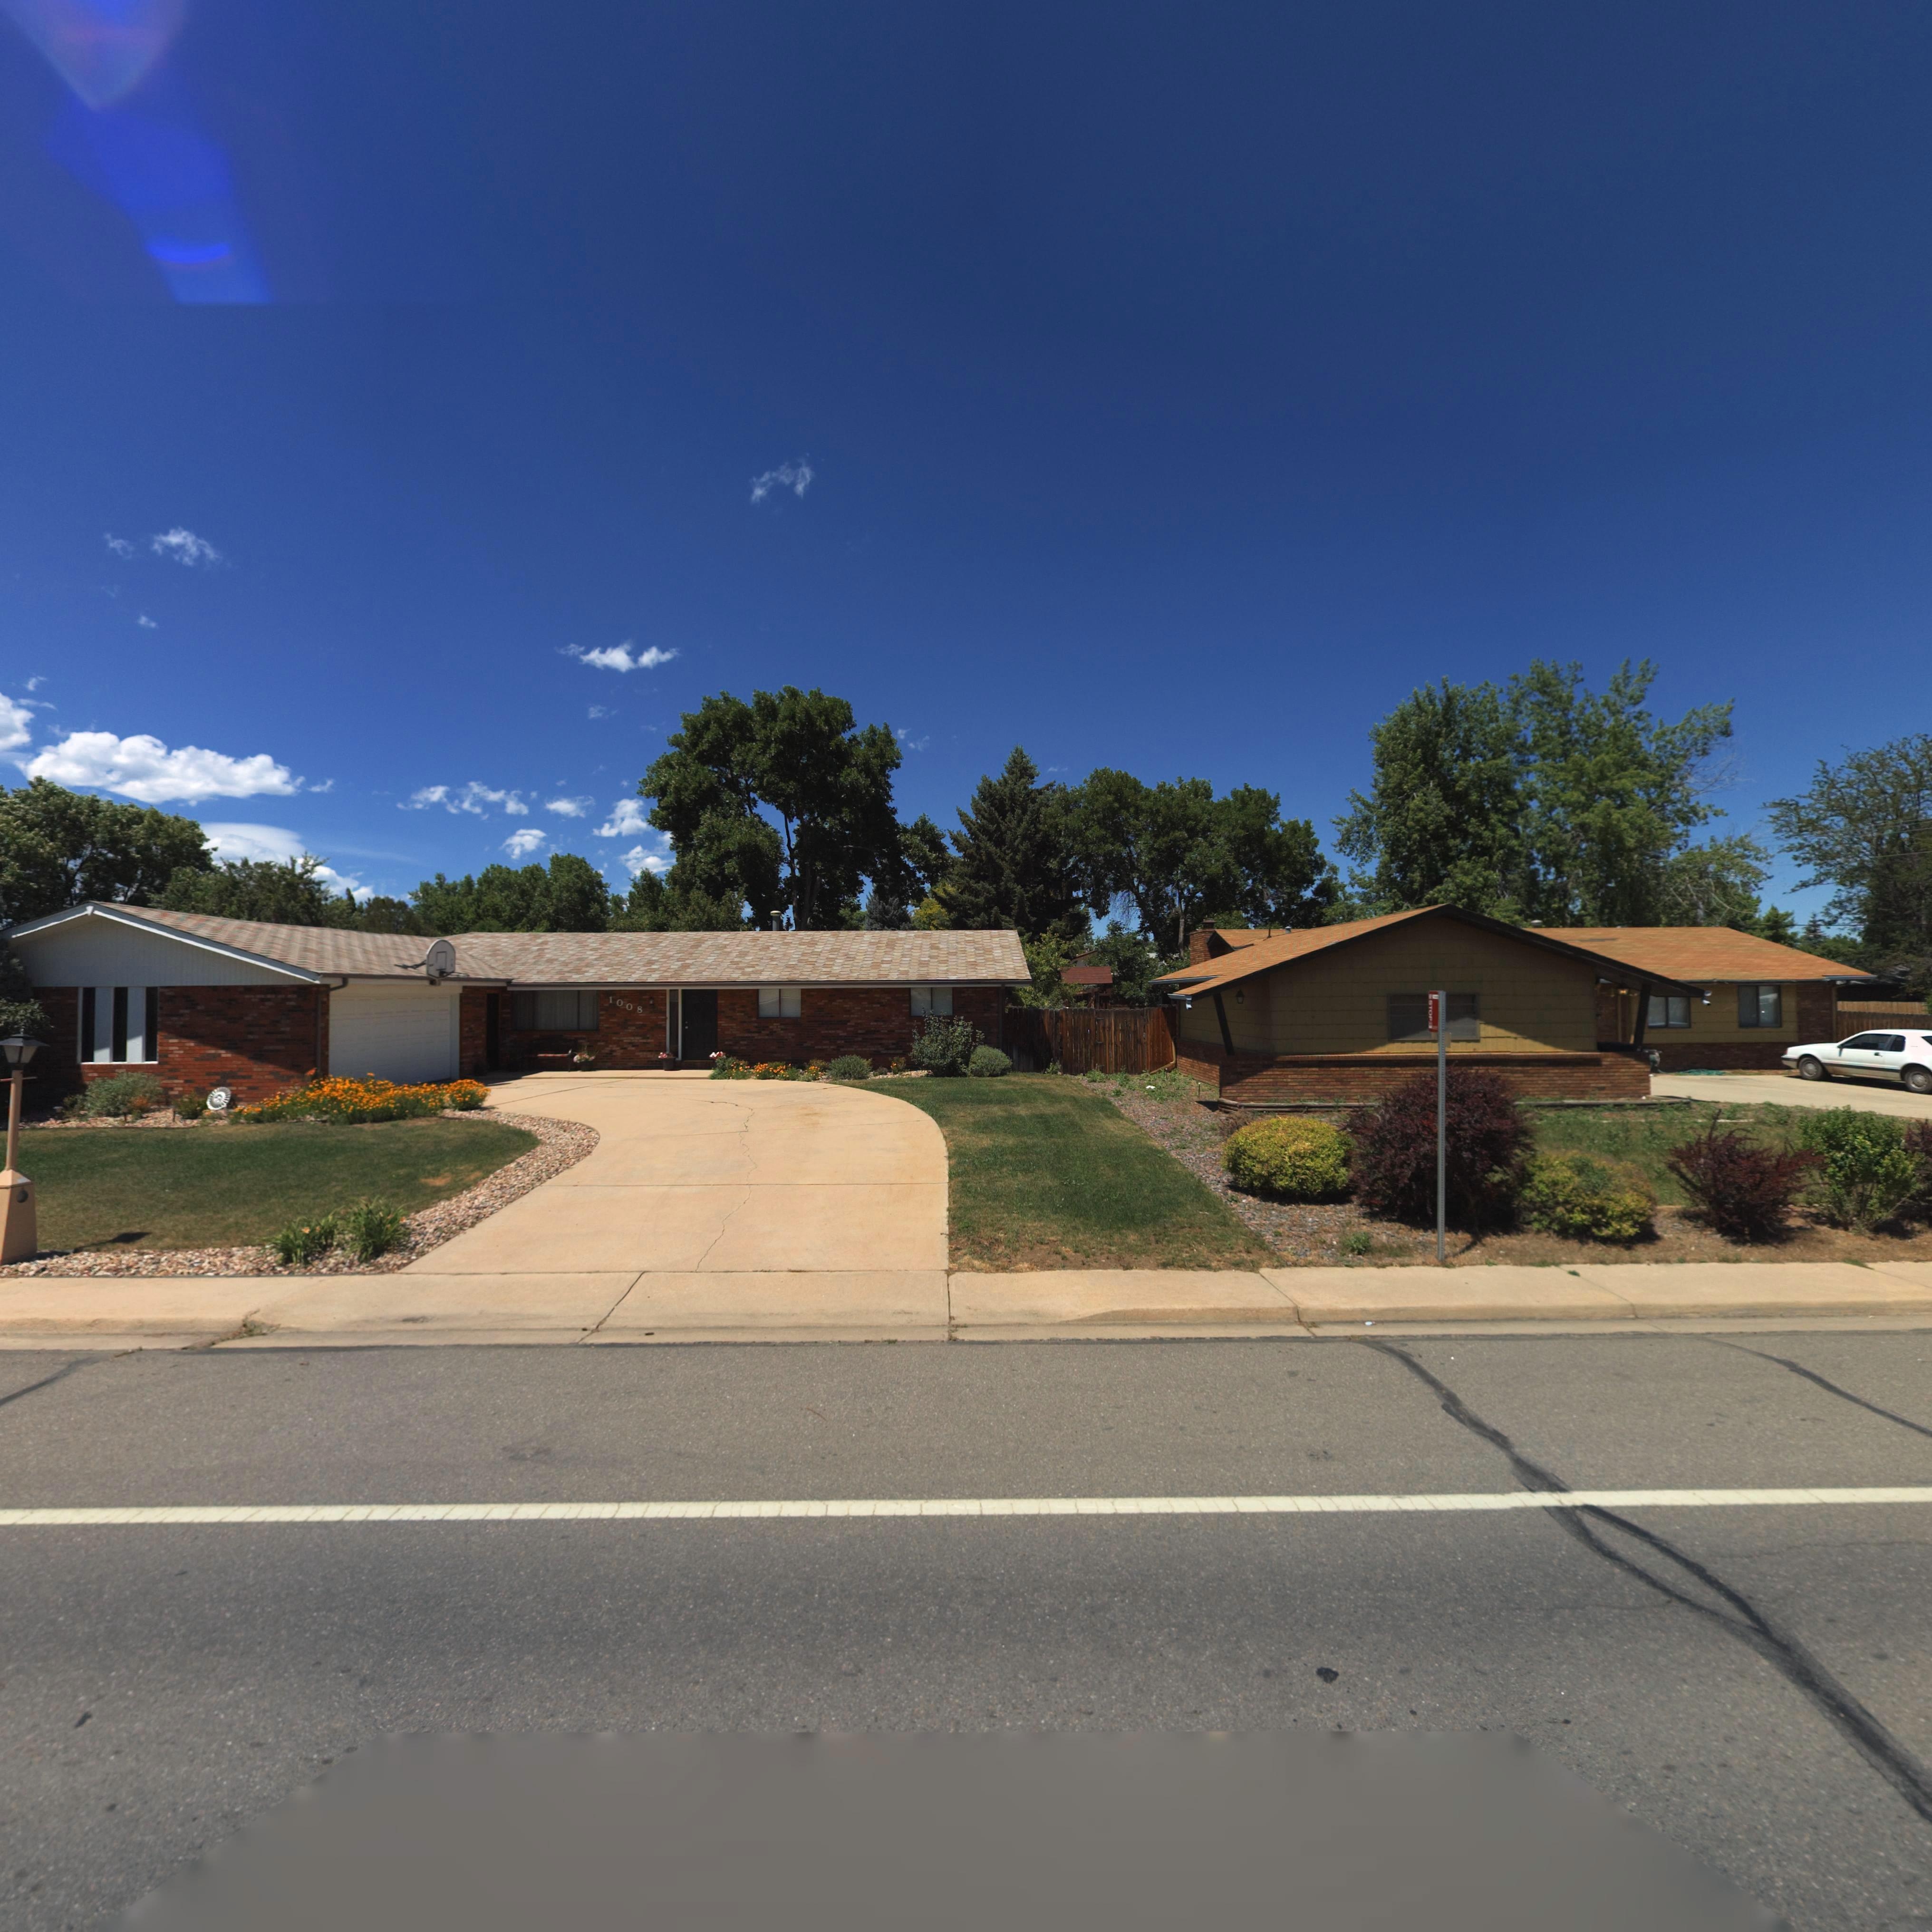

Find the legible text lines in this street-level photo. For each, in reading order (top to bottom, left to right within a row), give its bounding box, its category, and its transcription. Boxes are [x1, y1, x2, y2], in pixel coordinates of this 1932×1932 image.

[609, 995, 643, 1014] StreetNumber: 1008